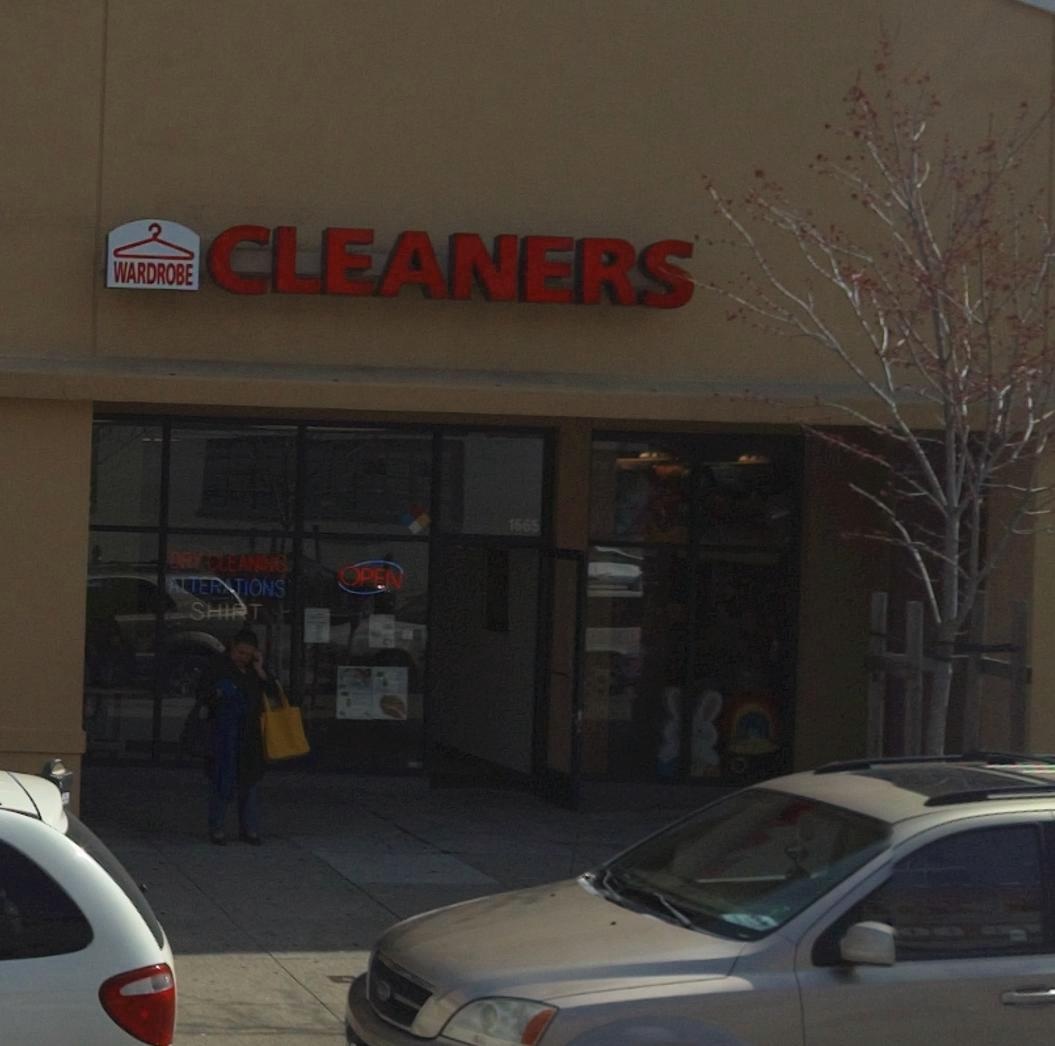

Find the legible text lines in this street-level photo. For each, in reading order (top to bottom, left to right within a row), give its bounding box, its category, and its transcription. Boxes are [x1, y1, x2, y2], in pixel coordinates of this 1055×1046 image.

[109, 256, 196, 290] BusinessName: WARDROBE
[202, 215, 701, 318] BusinessName: CLEANERS
[505, 514, 544, 536] StreetNumber: 1665
[165, 573, 289, 603] None: ALTERATIONS
[165, 546, 291, 579] None: DRY CLEANING
[337, 562, 406, 595] None: OPEN
[188, 596, 267, 625] None: SHIRT